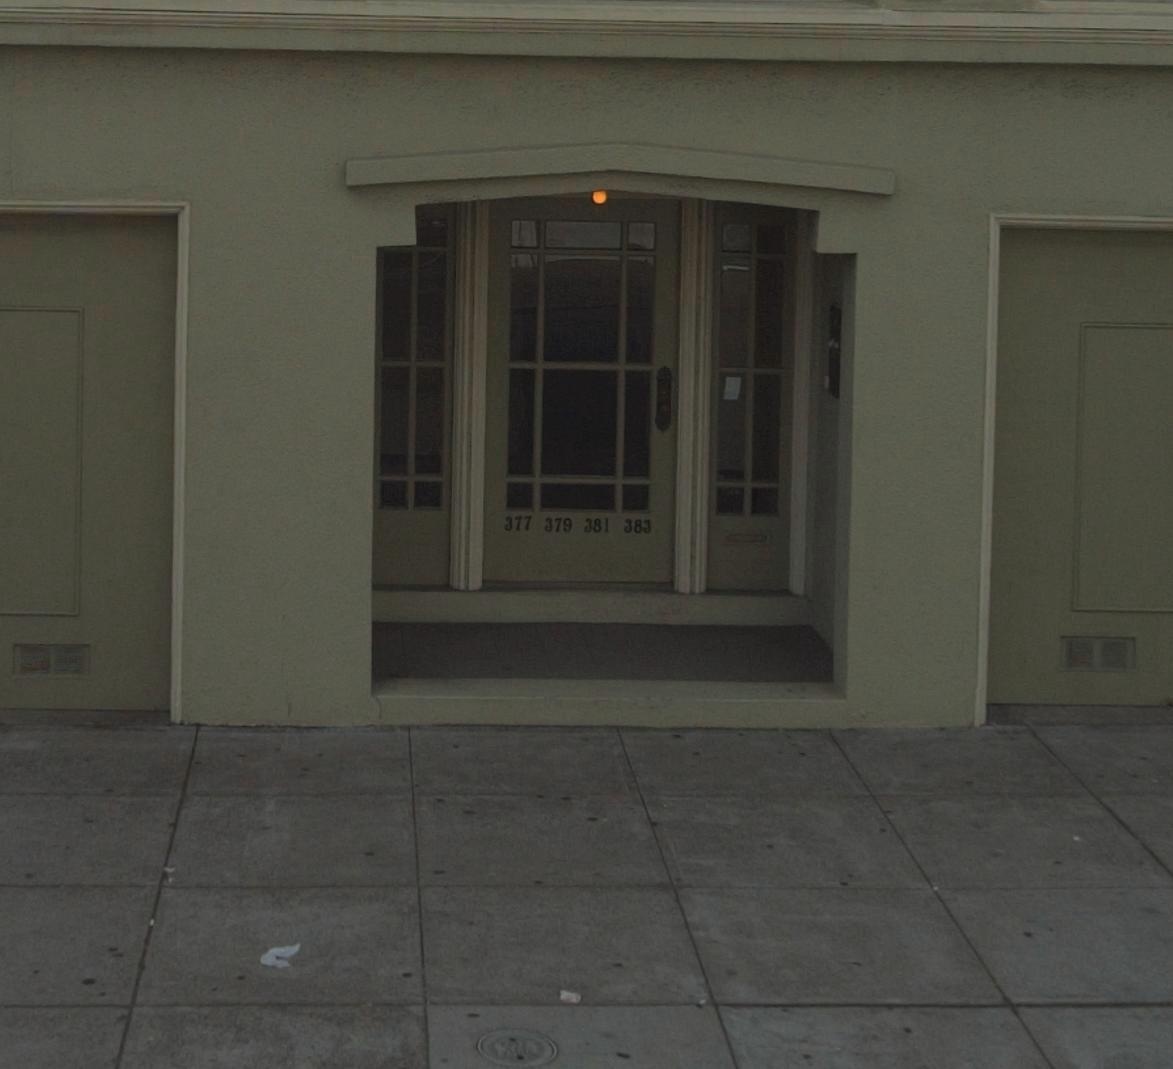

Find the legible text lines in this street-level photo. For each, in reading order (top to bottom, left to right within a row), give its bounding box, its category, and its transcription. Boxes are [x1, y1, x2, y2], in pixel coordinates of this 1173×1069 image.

[504, 515, 533, 532] StreetNumber: 377
[543, 516, 573, 534] StreetNumber: 379
[582, 516, 610, 534] StreetNumber: 381
[624, 518, 652, 533] StreetNumber: 383